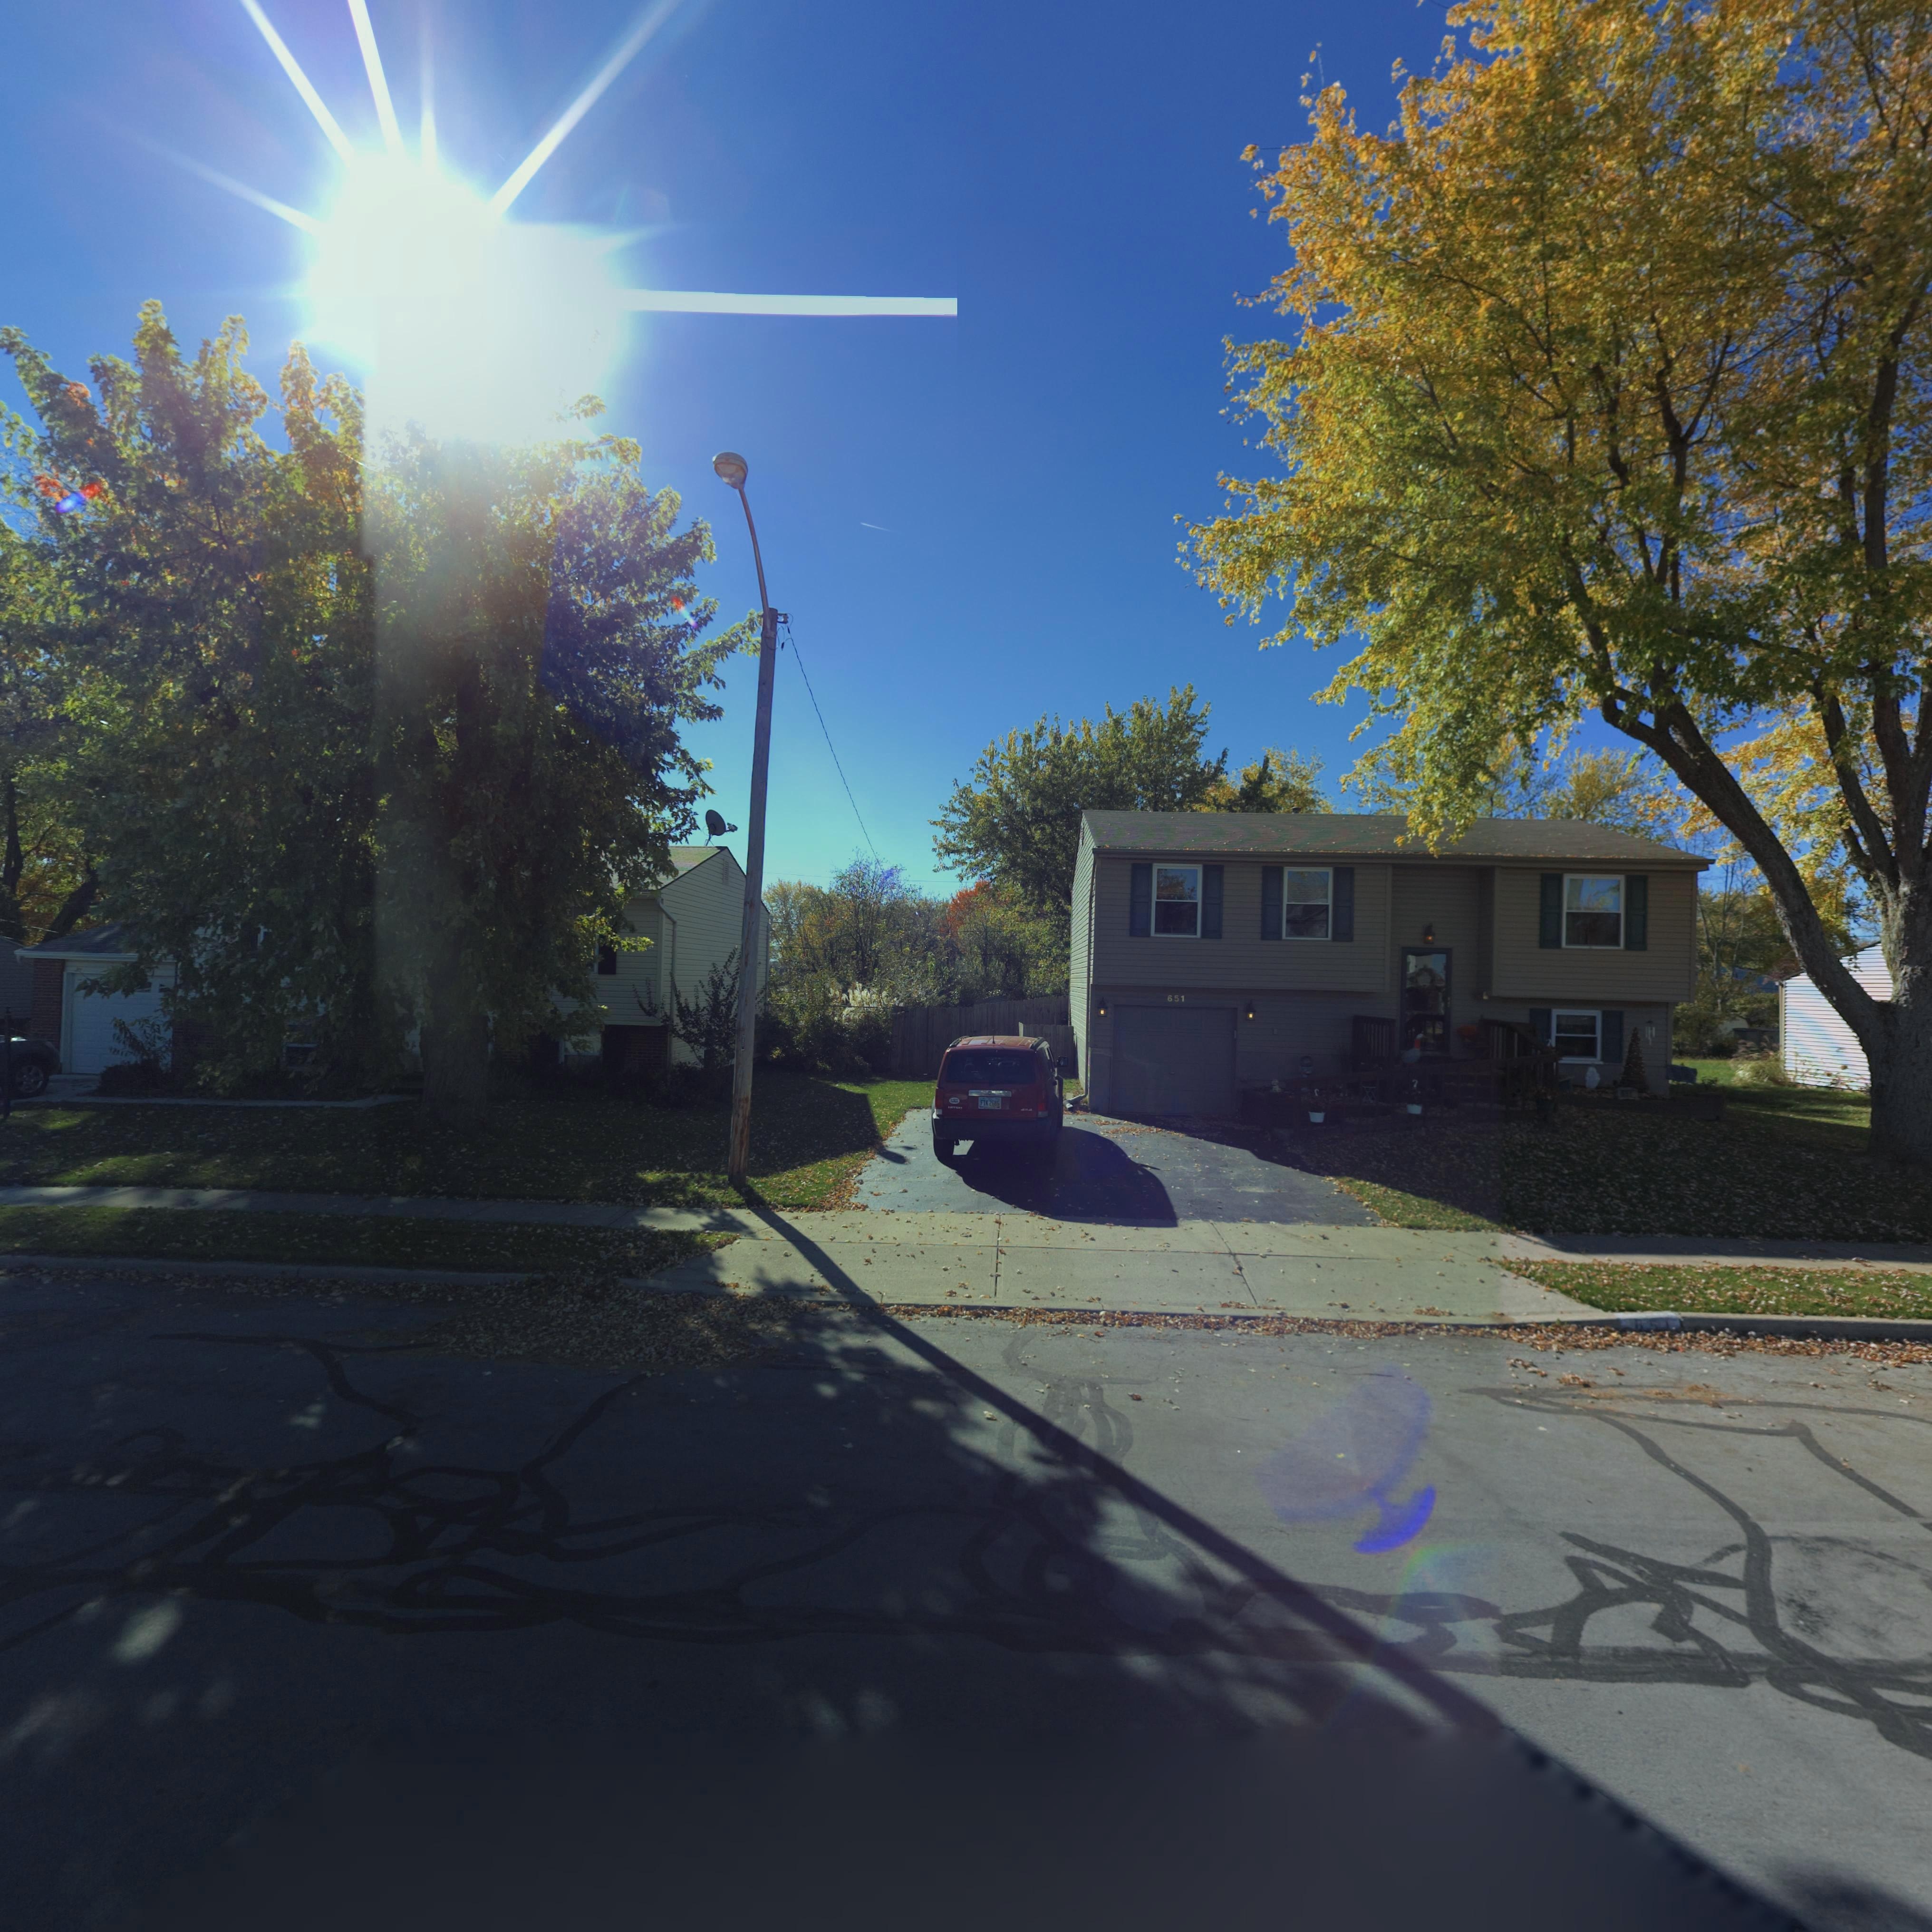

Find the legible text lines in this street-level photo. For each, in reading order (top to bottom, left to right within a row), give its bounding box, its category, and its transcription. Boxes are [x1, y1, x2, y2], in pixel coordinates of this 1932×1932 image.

[1167, 995, 1185, 1003] StreetNumber: 651
[1620, 1091, 1633, 1098] StreetNumber: 651
[978, 1099, 999, 1107] None: F** 2***
[1634, 1317, 1671, 1332] StreetNumber: 651